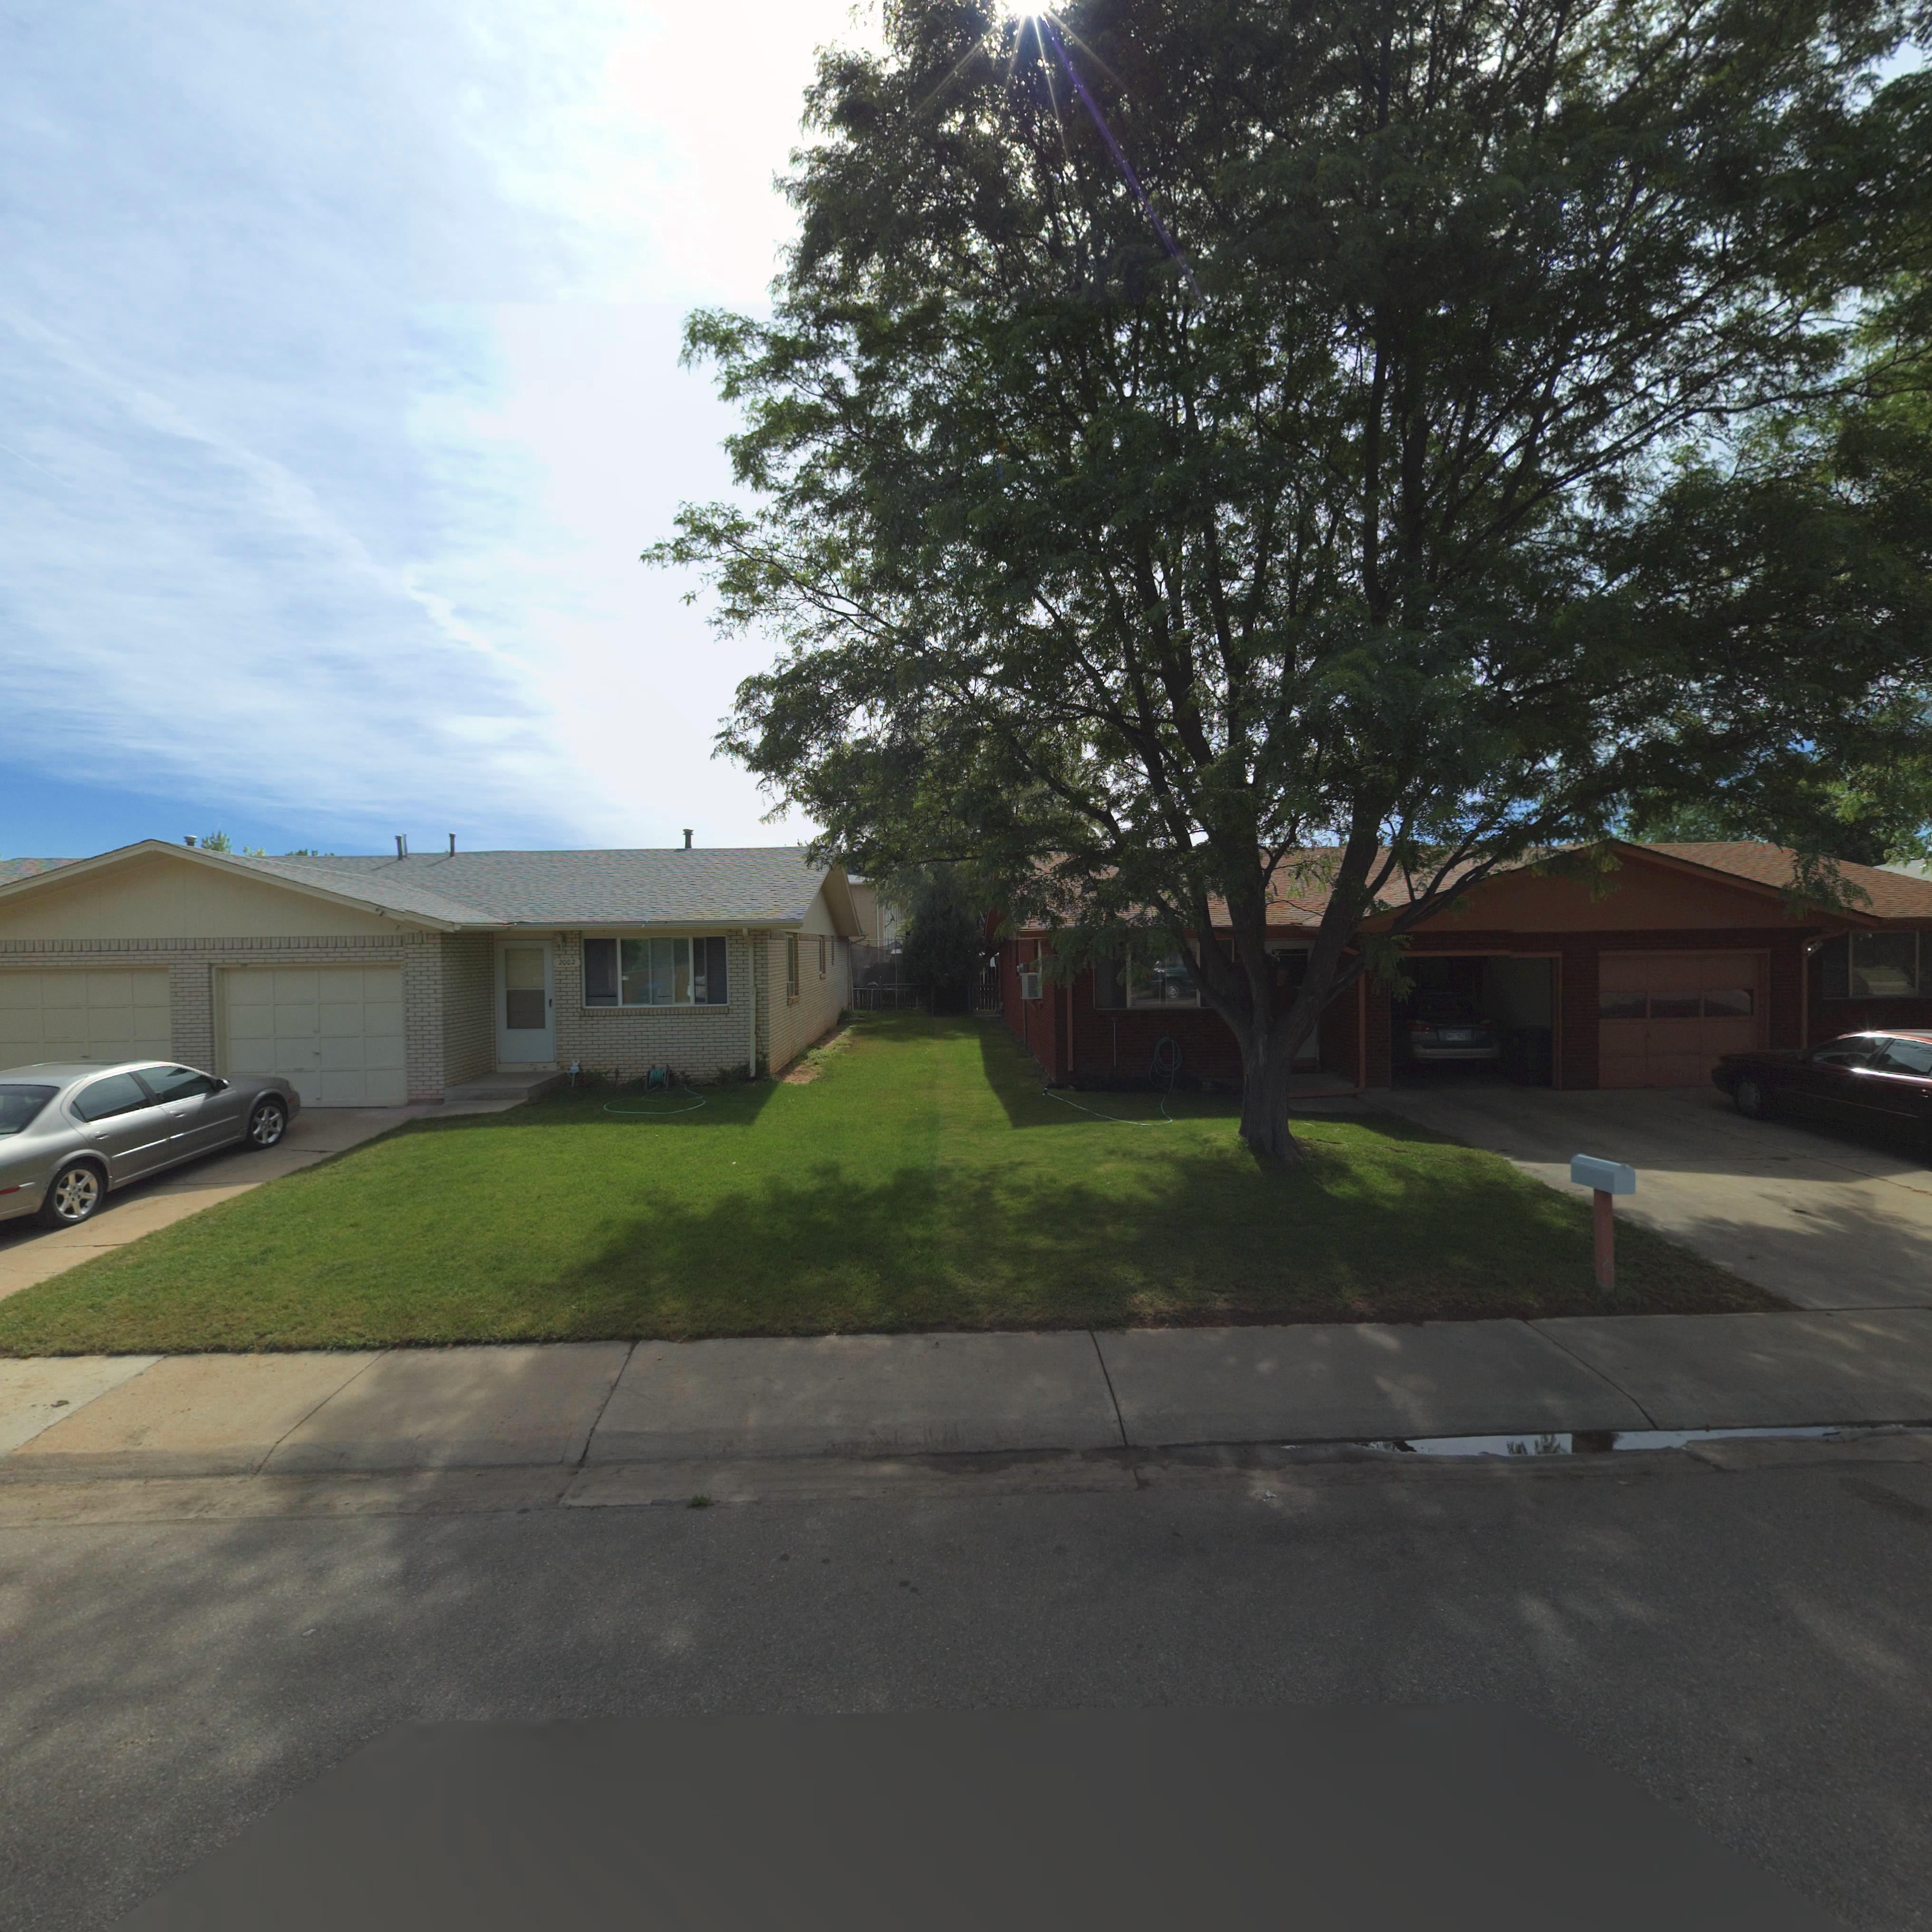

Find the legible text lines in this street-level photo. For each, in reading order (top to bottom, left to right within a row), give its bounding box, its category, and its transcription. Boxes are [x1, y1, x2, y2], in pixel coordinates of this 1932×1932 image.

[557, 958, 575, 966] StreetNumber: 2002